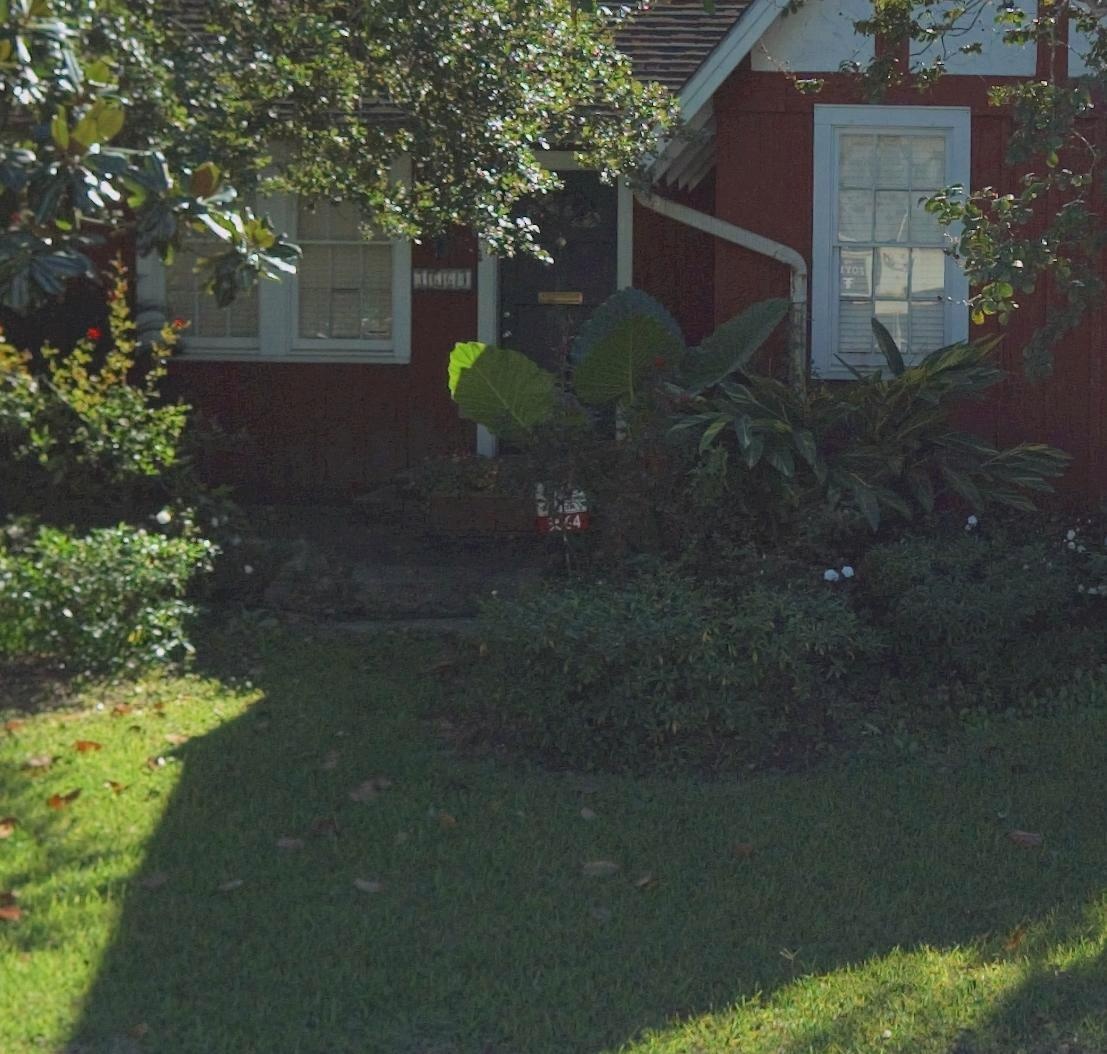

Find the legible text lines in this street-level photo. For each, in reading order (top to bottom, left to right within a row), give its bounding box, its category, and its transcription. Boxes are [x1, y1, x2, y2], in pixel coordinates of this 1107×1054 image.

[545, 511, 583, 535] StreetNumber: **64